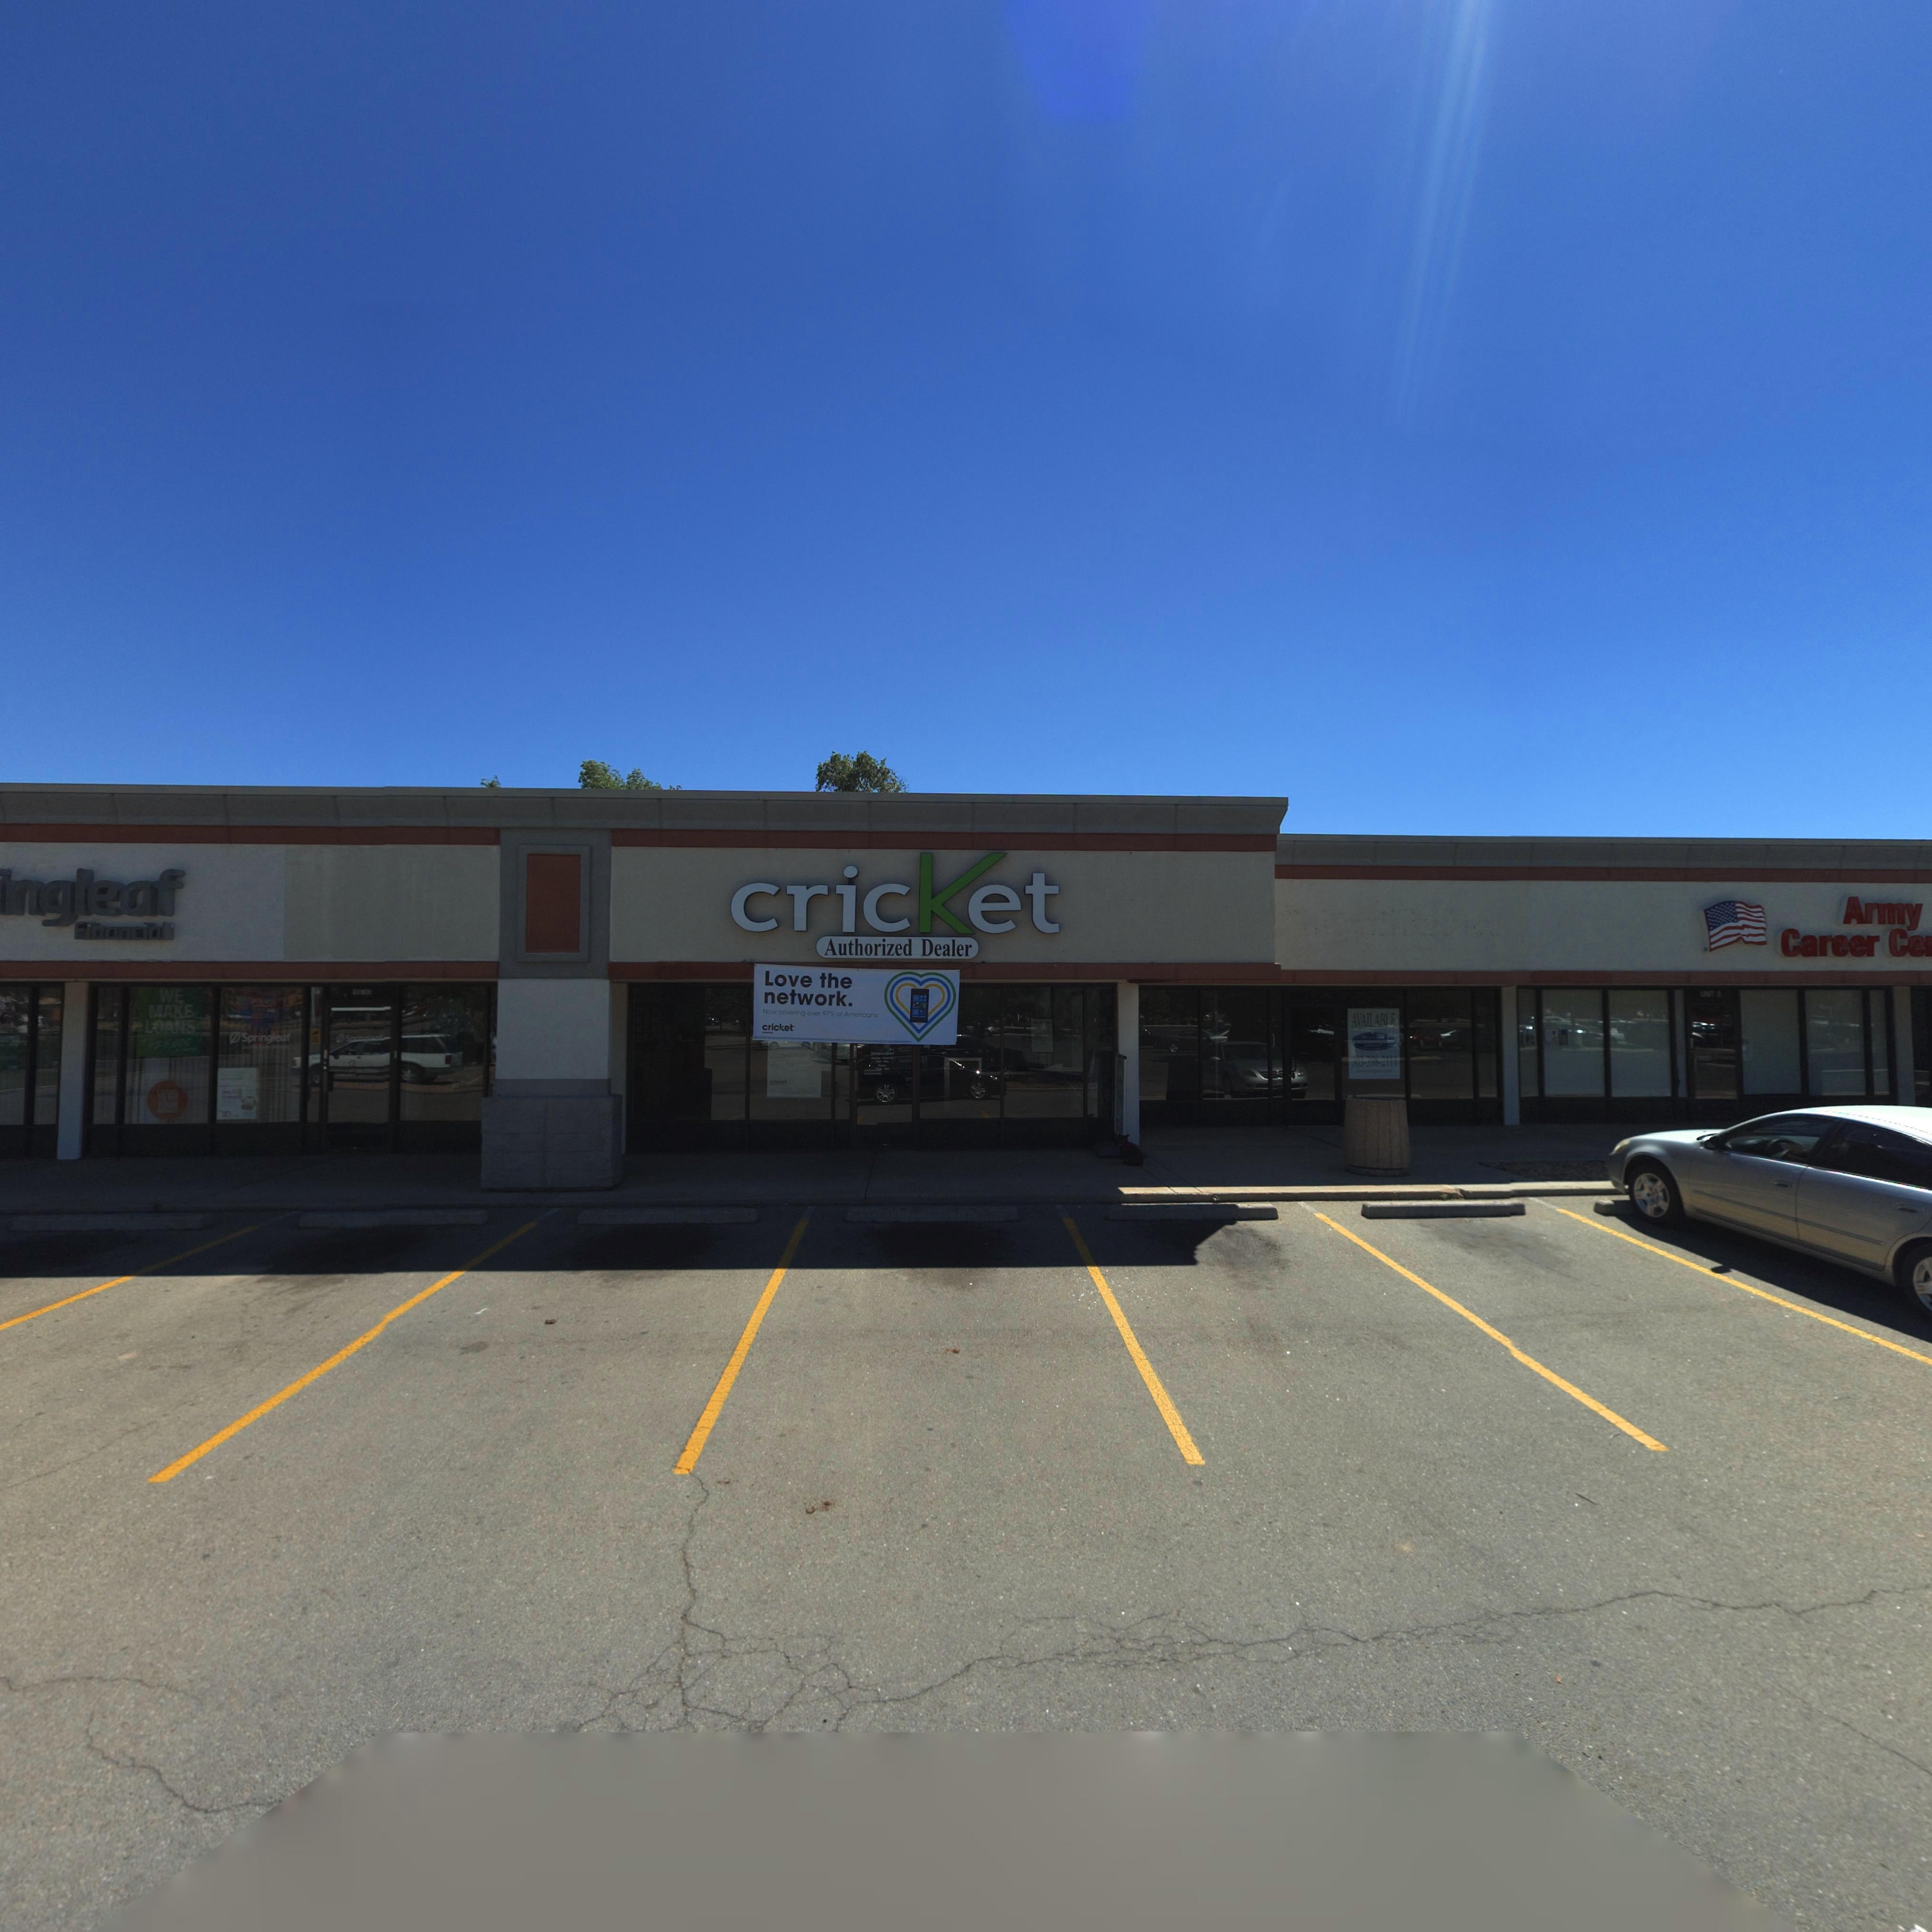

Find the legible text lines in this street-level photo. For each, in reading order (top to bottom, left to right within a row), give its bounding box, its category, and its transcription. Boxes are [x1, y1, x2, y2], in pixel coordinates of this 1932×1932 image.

[5, 866, 185, 927] BusinessName: ngleaf
[730, 852, 1061, 935] BusinessName: cricket
[1838, 897, 1922, 930] BusinessName: Army
[73, 921, 174, 940] BusinessName: Financial
[823, 938, 973, 957] BusinessName: Authorized Dealer
[1778, 928, 1931, 957] BusinessName: Career Ce
[1699, 989, 1722, 997] SecondaryUnitDesignator: UNIT 3
[241, 1031, 292, 1044] BusinessName: Springleaf
[345, 1034, 384, 1044] BusinessName: Springleaf
[769, 1079, 787, 1084] BusinessName: cricket